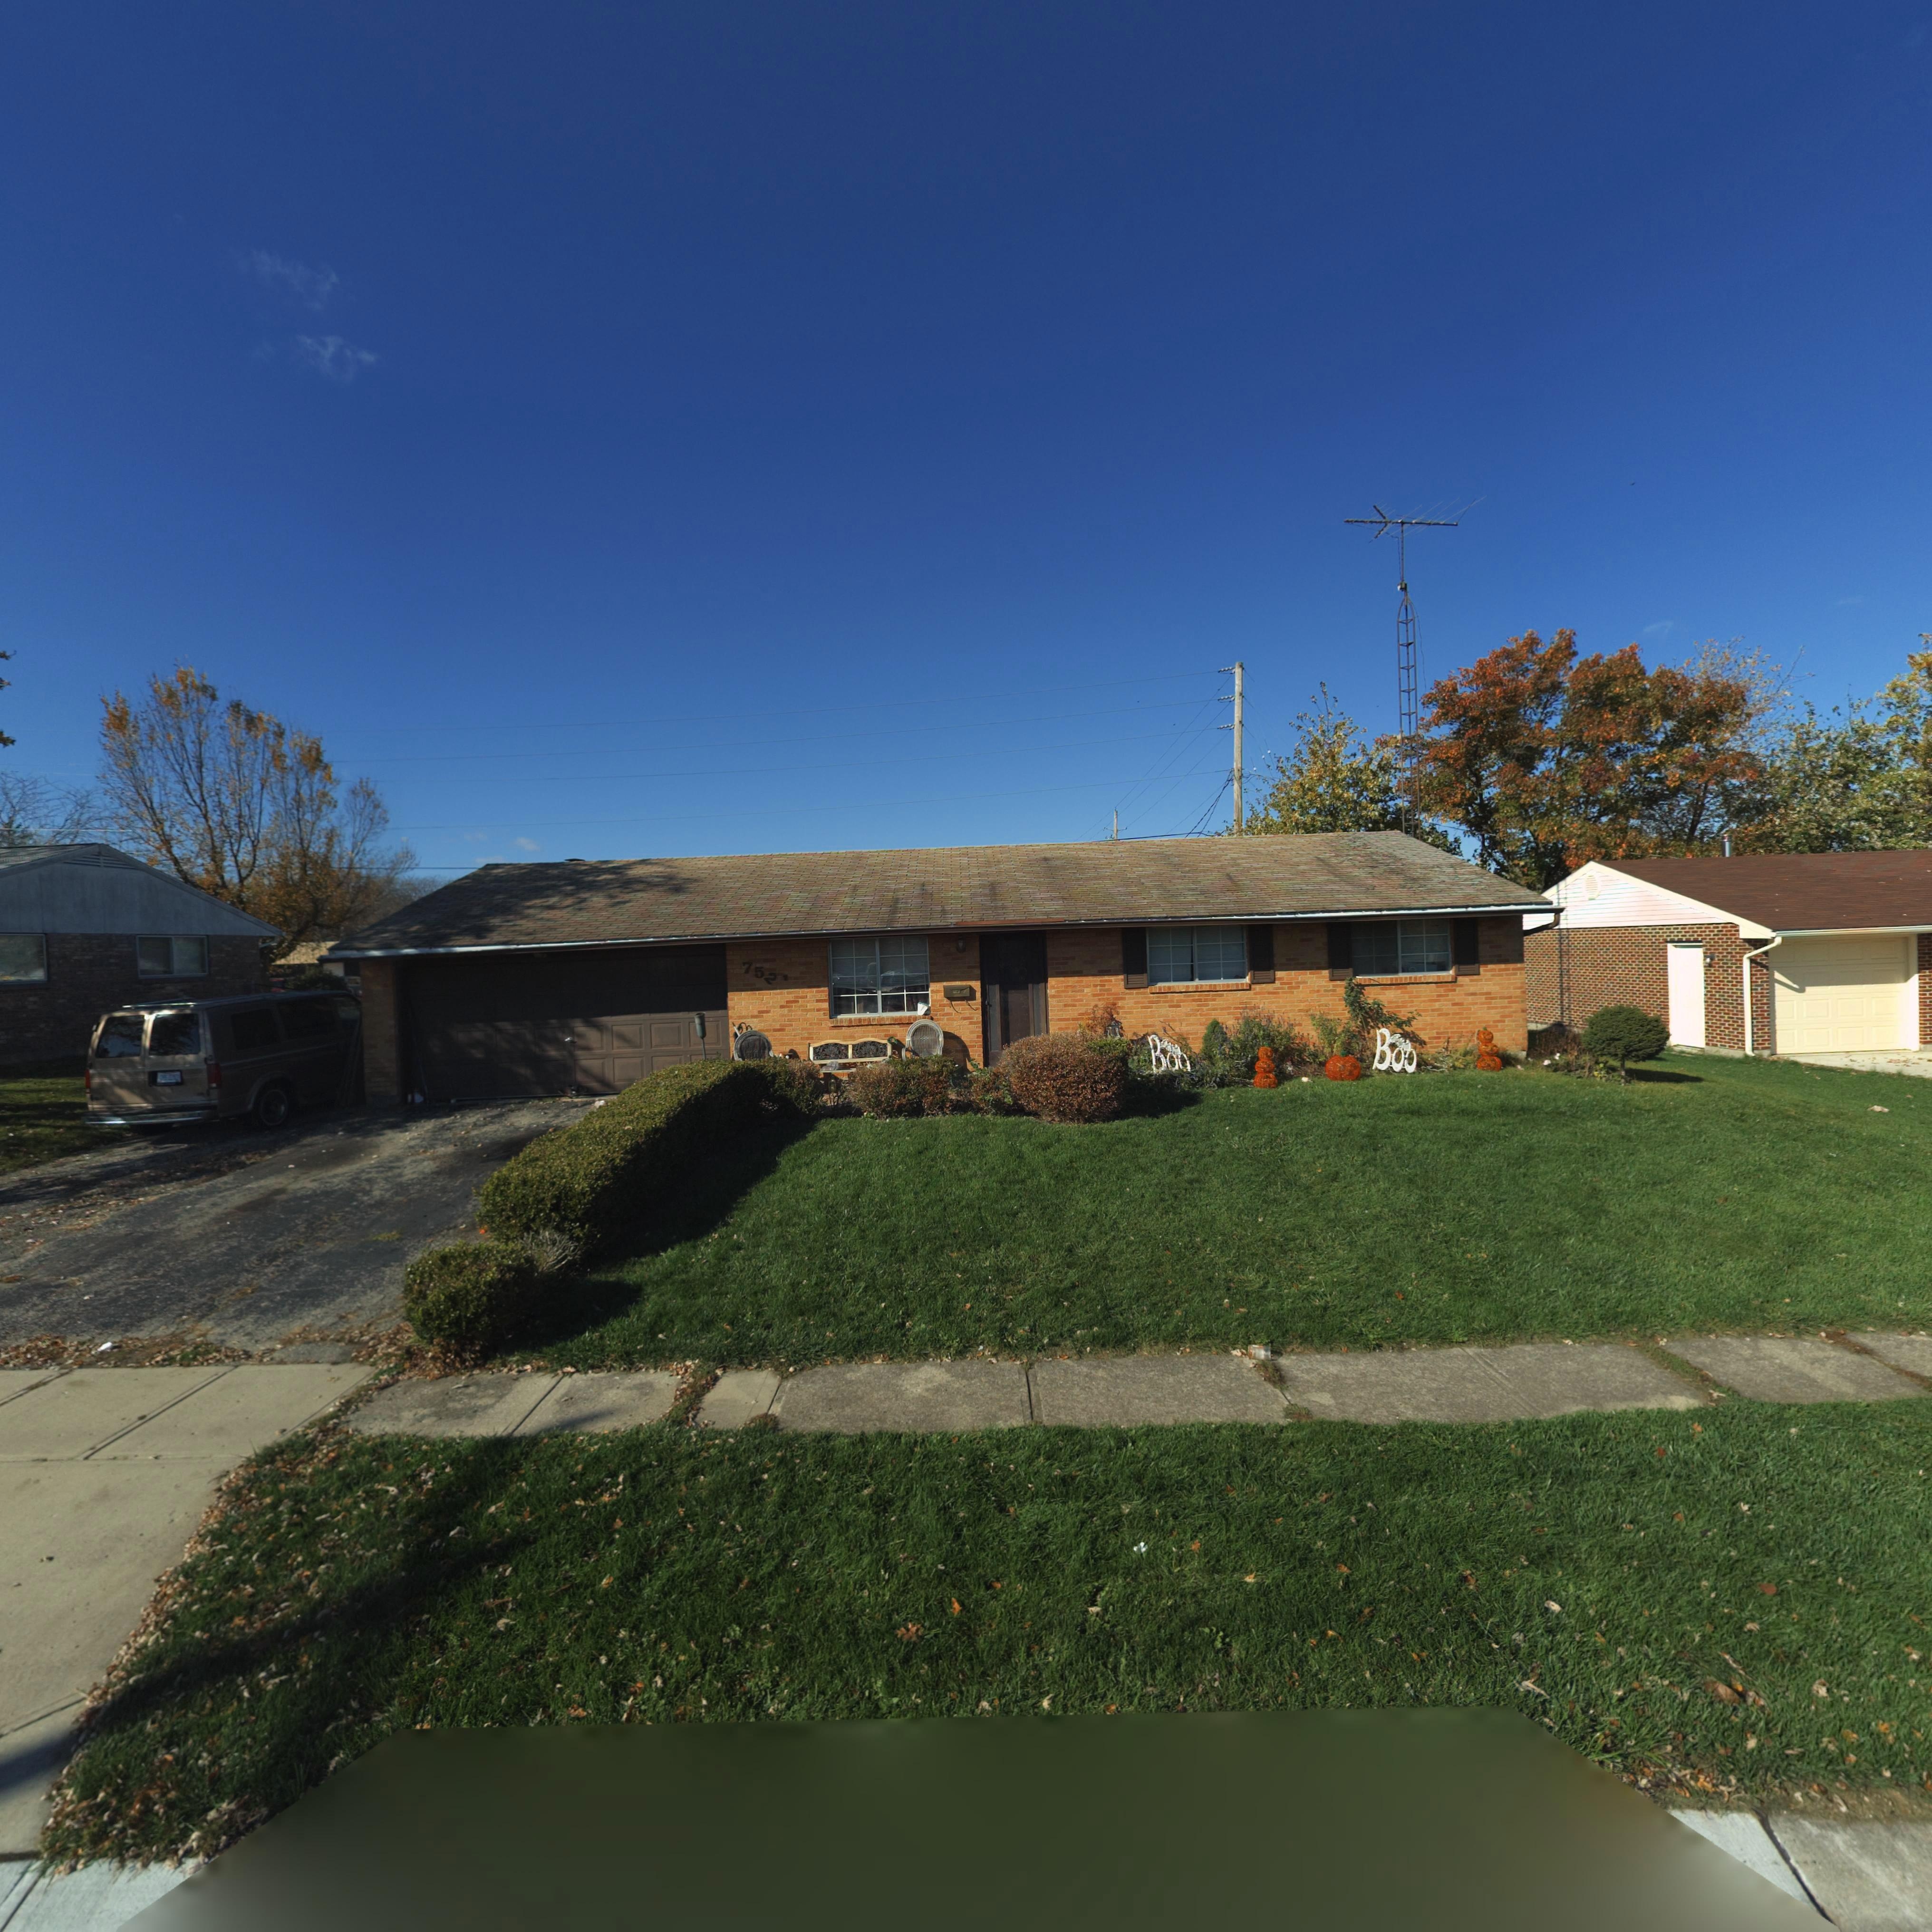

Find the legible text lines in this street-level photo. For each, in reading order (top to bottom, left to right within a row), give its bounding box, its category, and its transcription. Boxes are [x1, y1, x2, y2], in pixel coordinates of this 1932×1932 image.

[742, 961, 778, 986] StreetNumber: 752